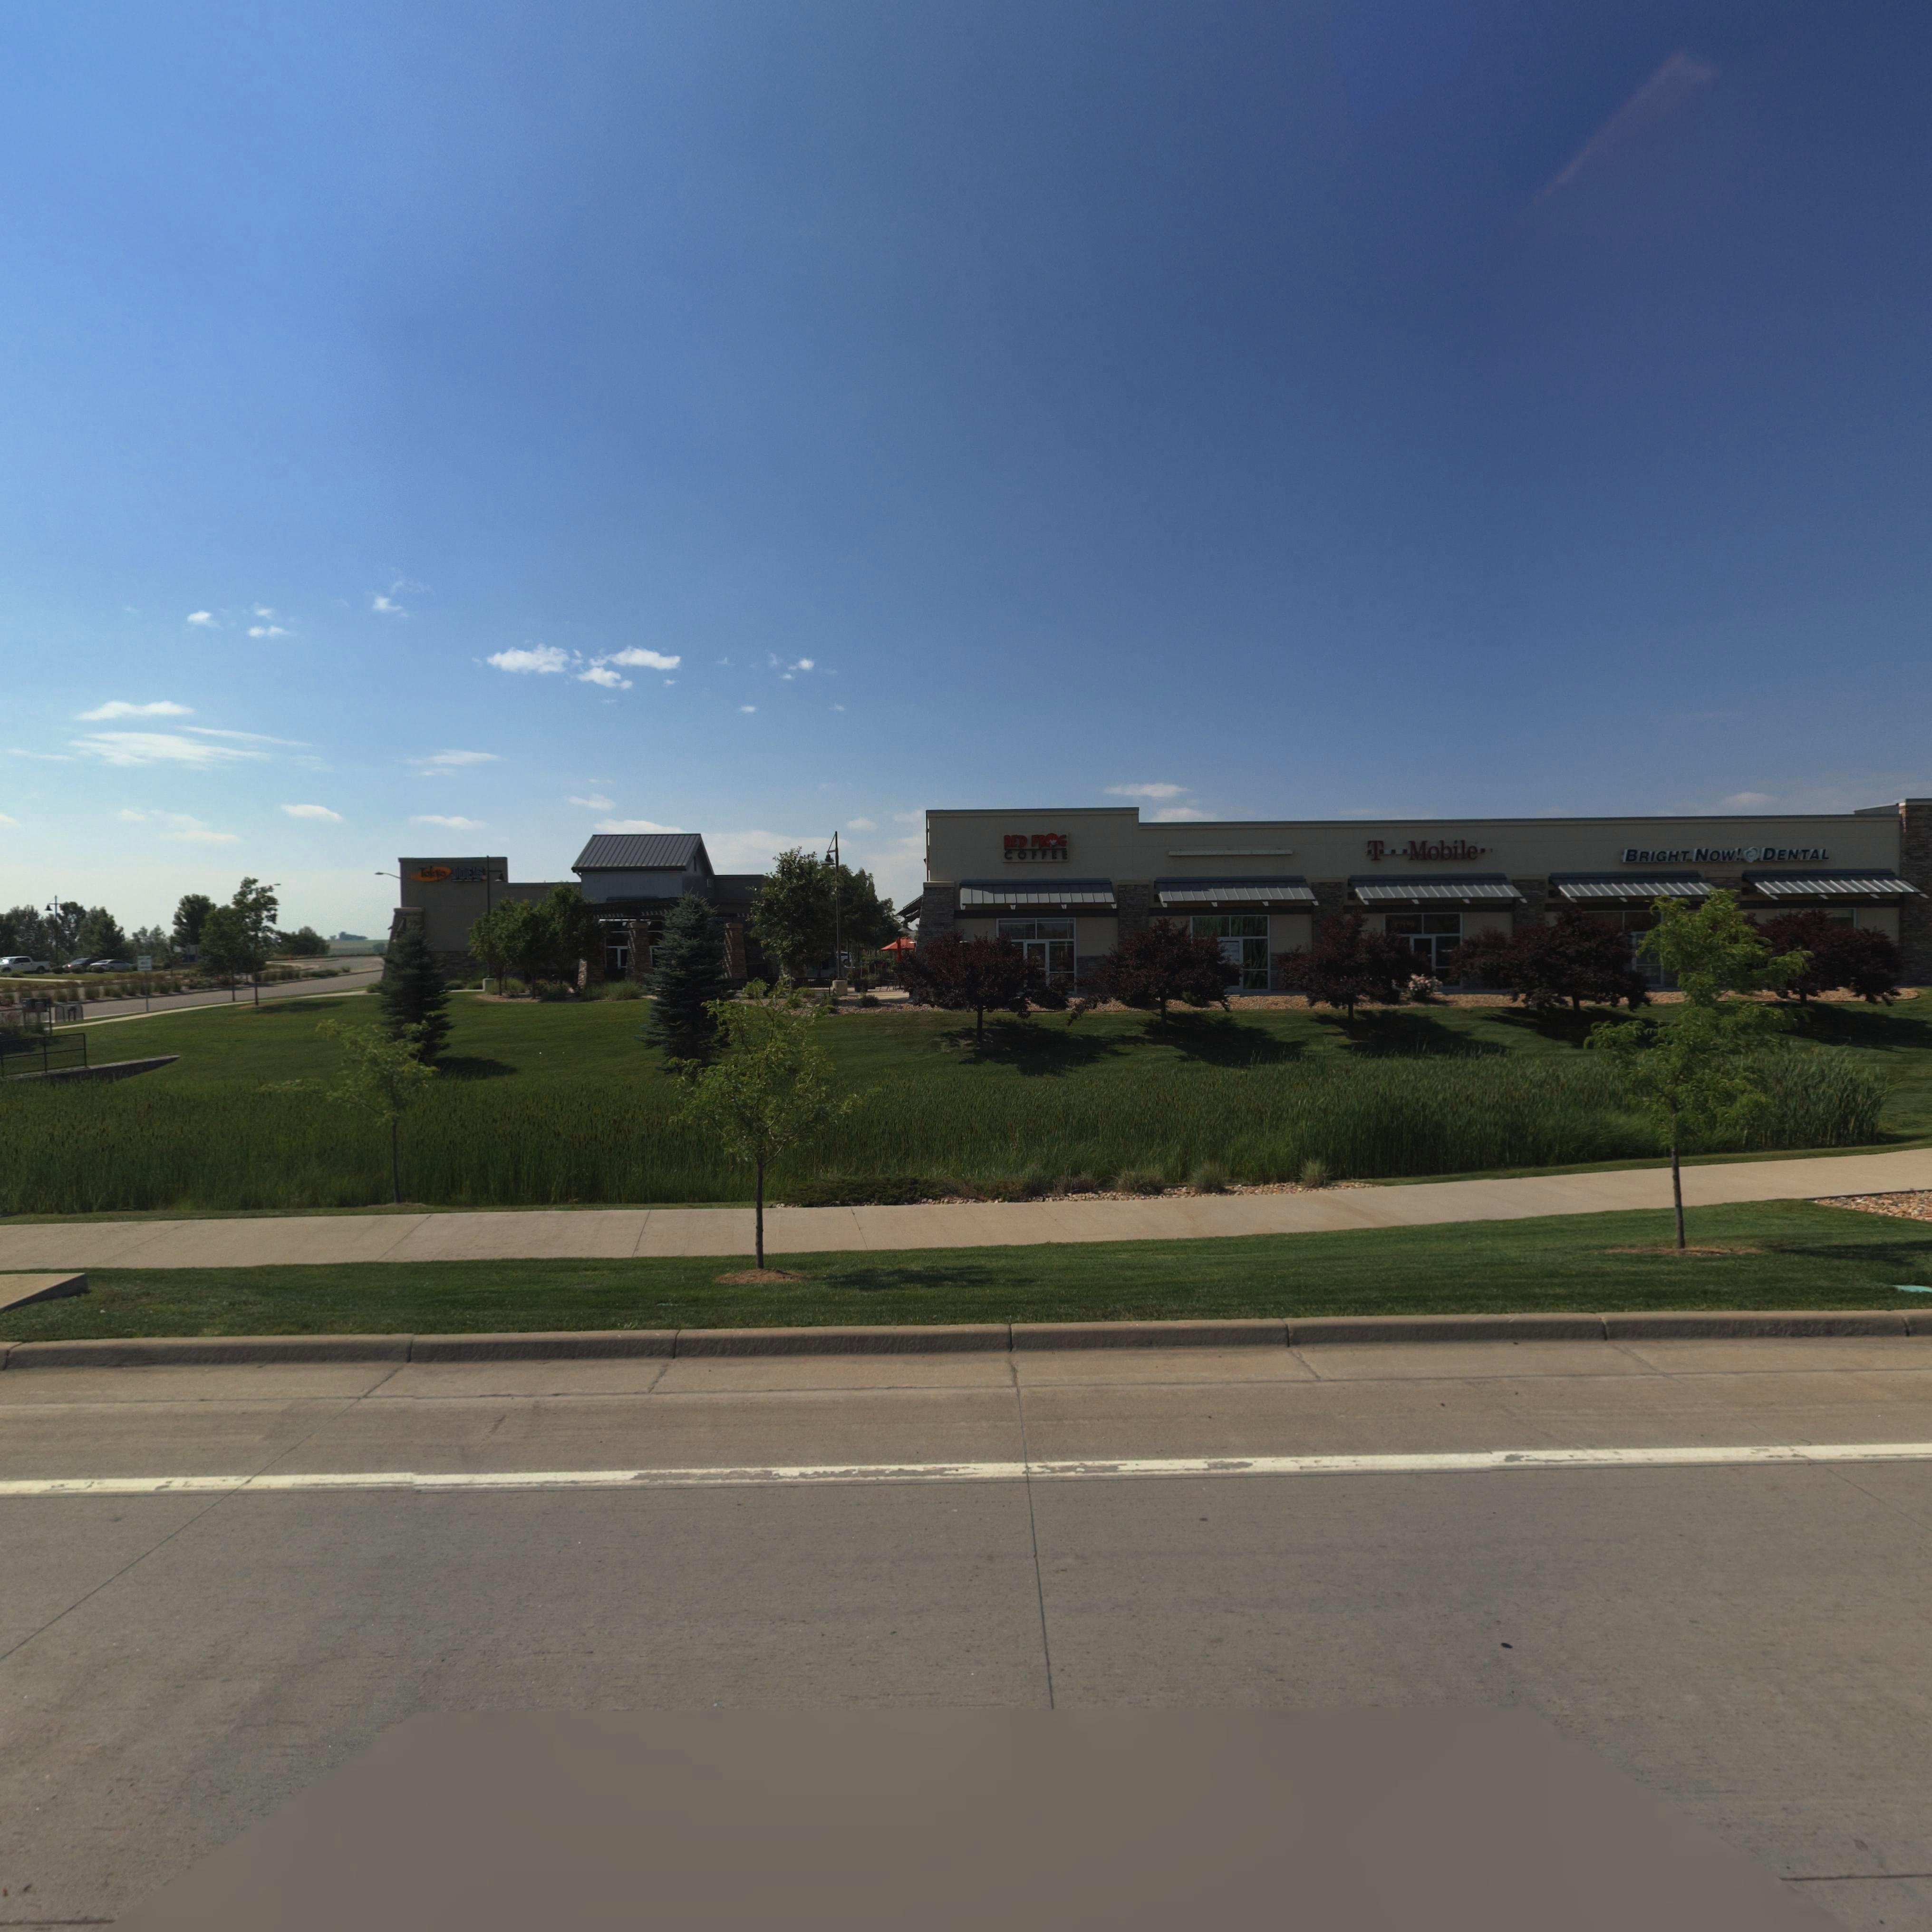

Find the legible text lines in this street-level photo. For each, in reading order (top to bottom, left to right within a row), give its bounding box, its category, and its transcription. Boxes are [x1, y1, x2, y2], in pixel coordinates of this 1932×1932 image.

[1003, 832, 1068, 849] BusinessName: RED FROG
[1004, 850, 1068, 860] BusinessName: COFFEE
[1366, 839, 1478, 861] BusinessName: T Mobile
[1624, 846, 1830, 863] BusinessName: BRIGHT NOW* * DENTAL
[418, 864, 446, 880] BusinessName: Tokyo
[449, 865, 484, 879] BusinessName: JOE'S